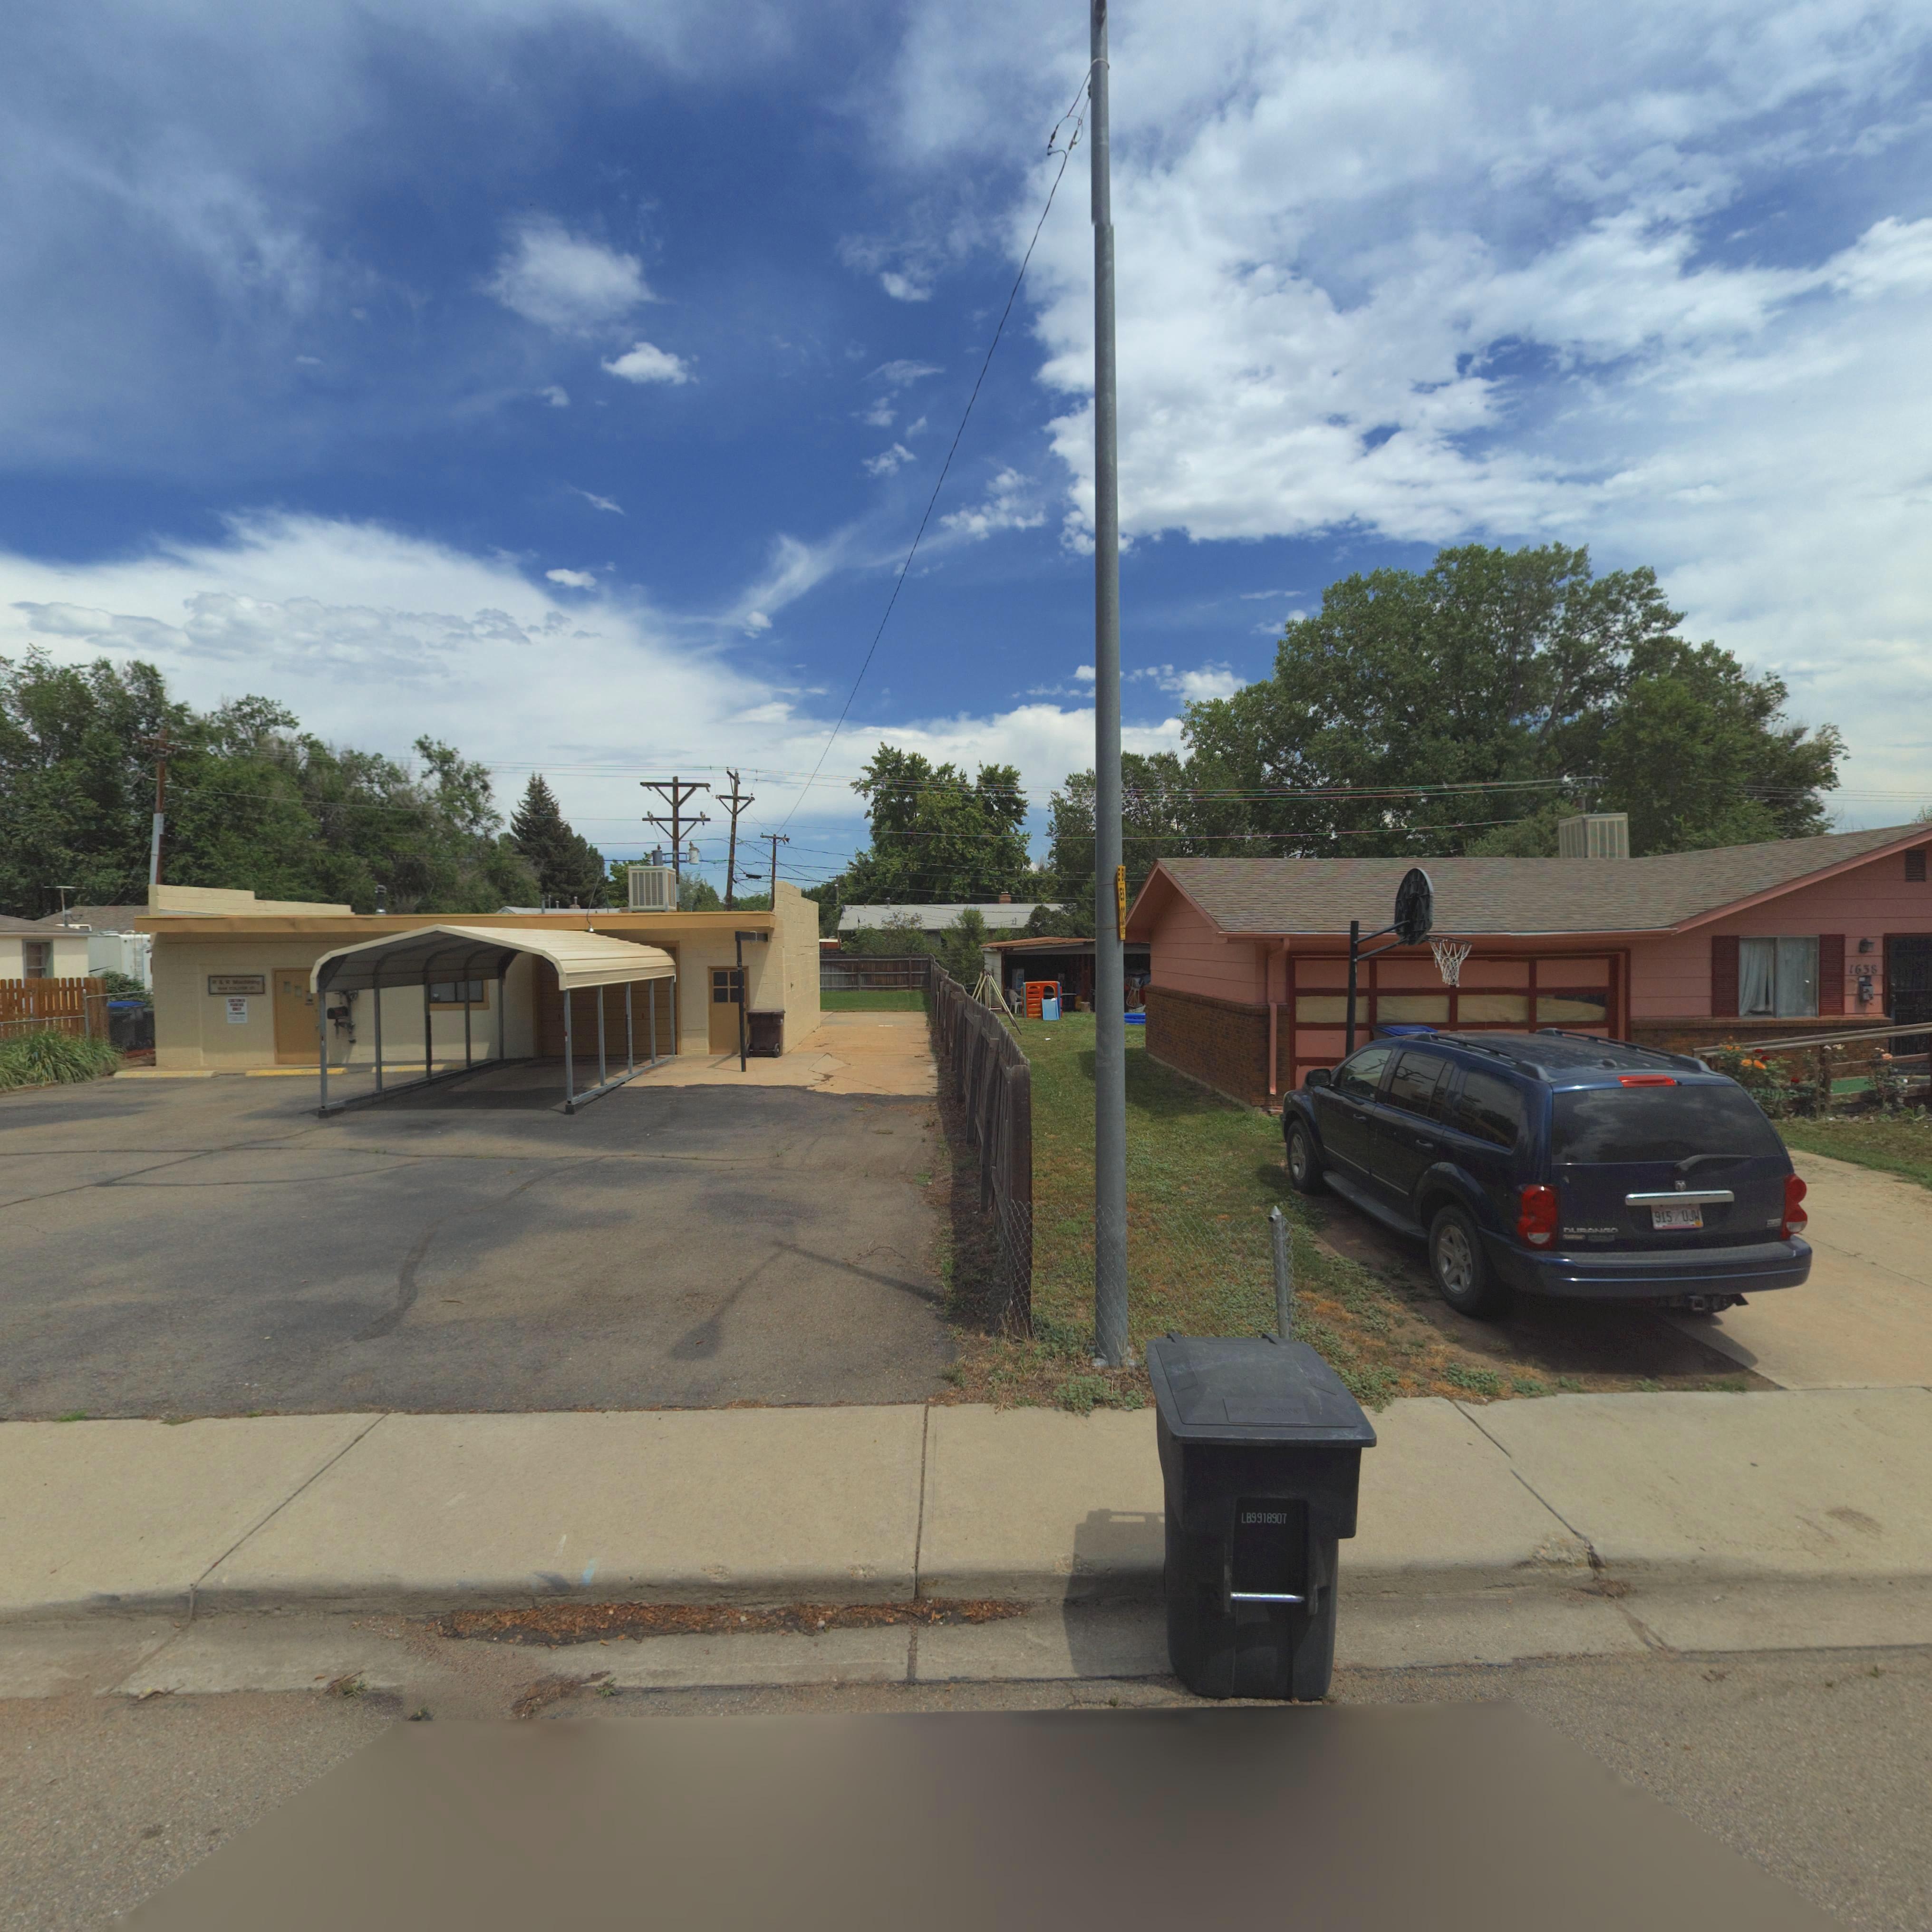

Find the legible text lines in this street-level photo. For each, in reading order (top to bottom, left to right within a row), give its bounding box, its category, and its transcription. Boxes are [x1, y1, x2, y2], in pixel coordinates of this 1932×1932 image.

[1848, 963, 1878, 975] StreetNumber: 1638
[228, 985, 256, 991] StreetName: COLL*** **